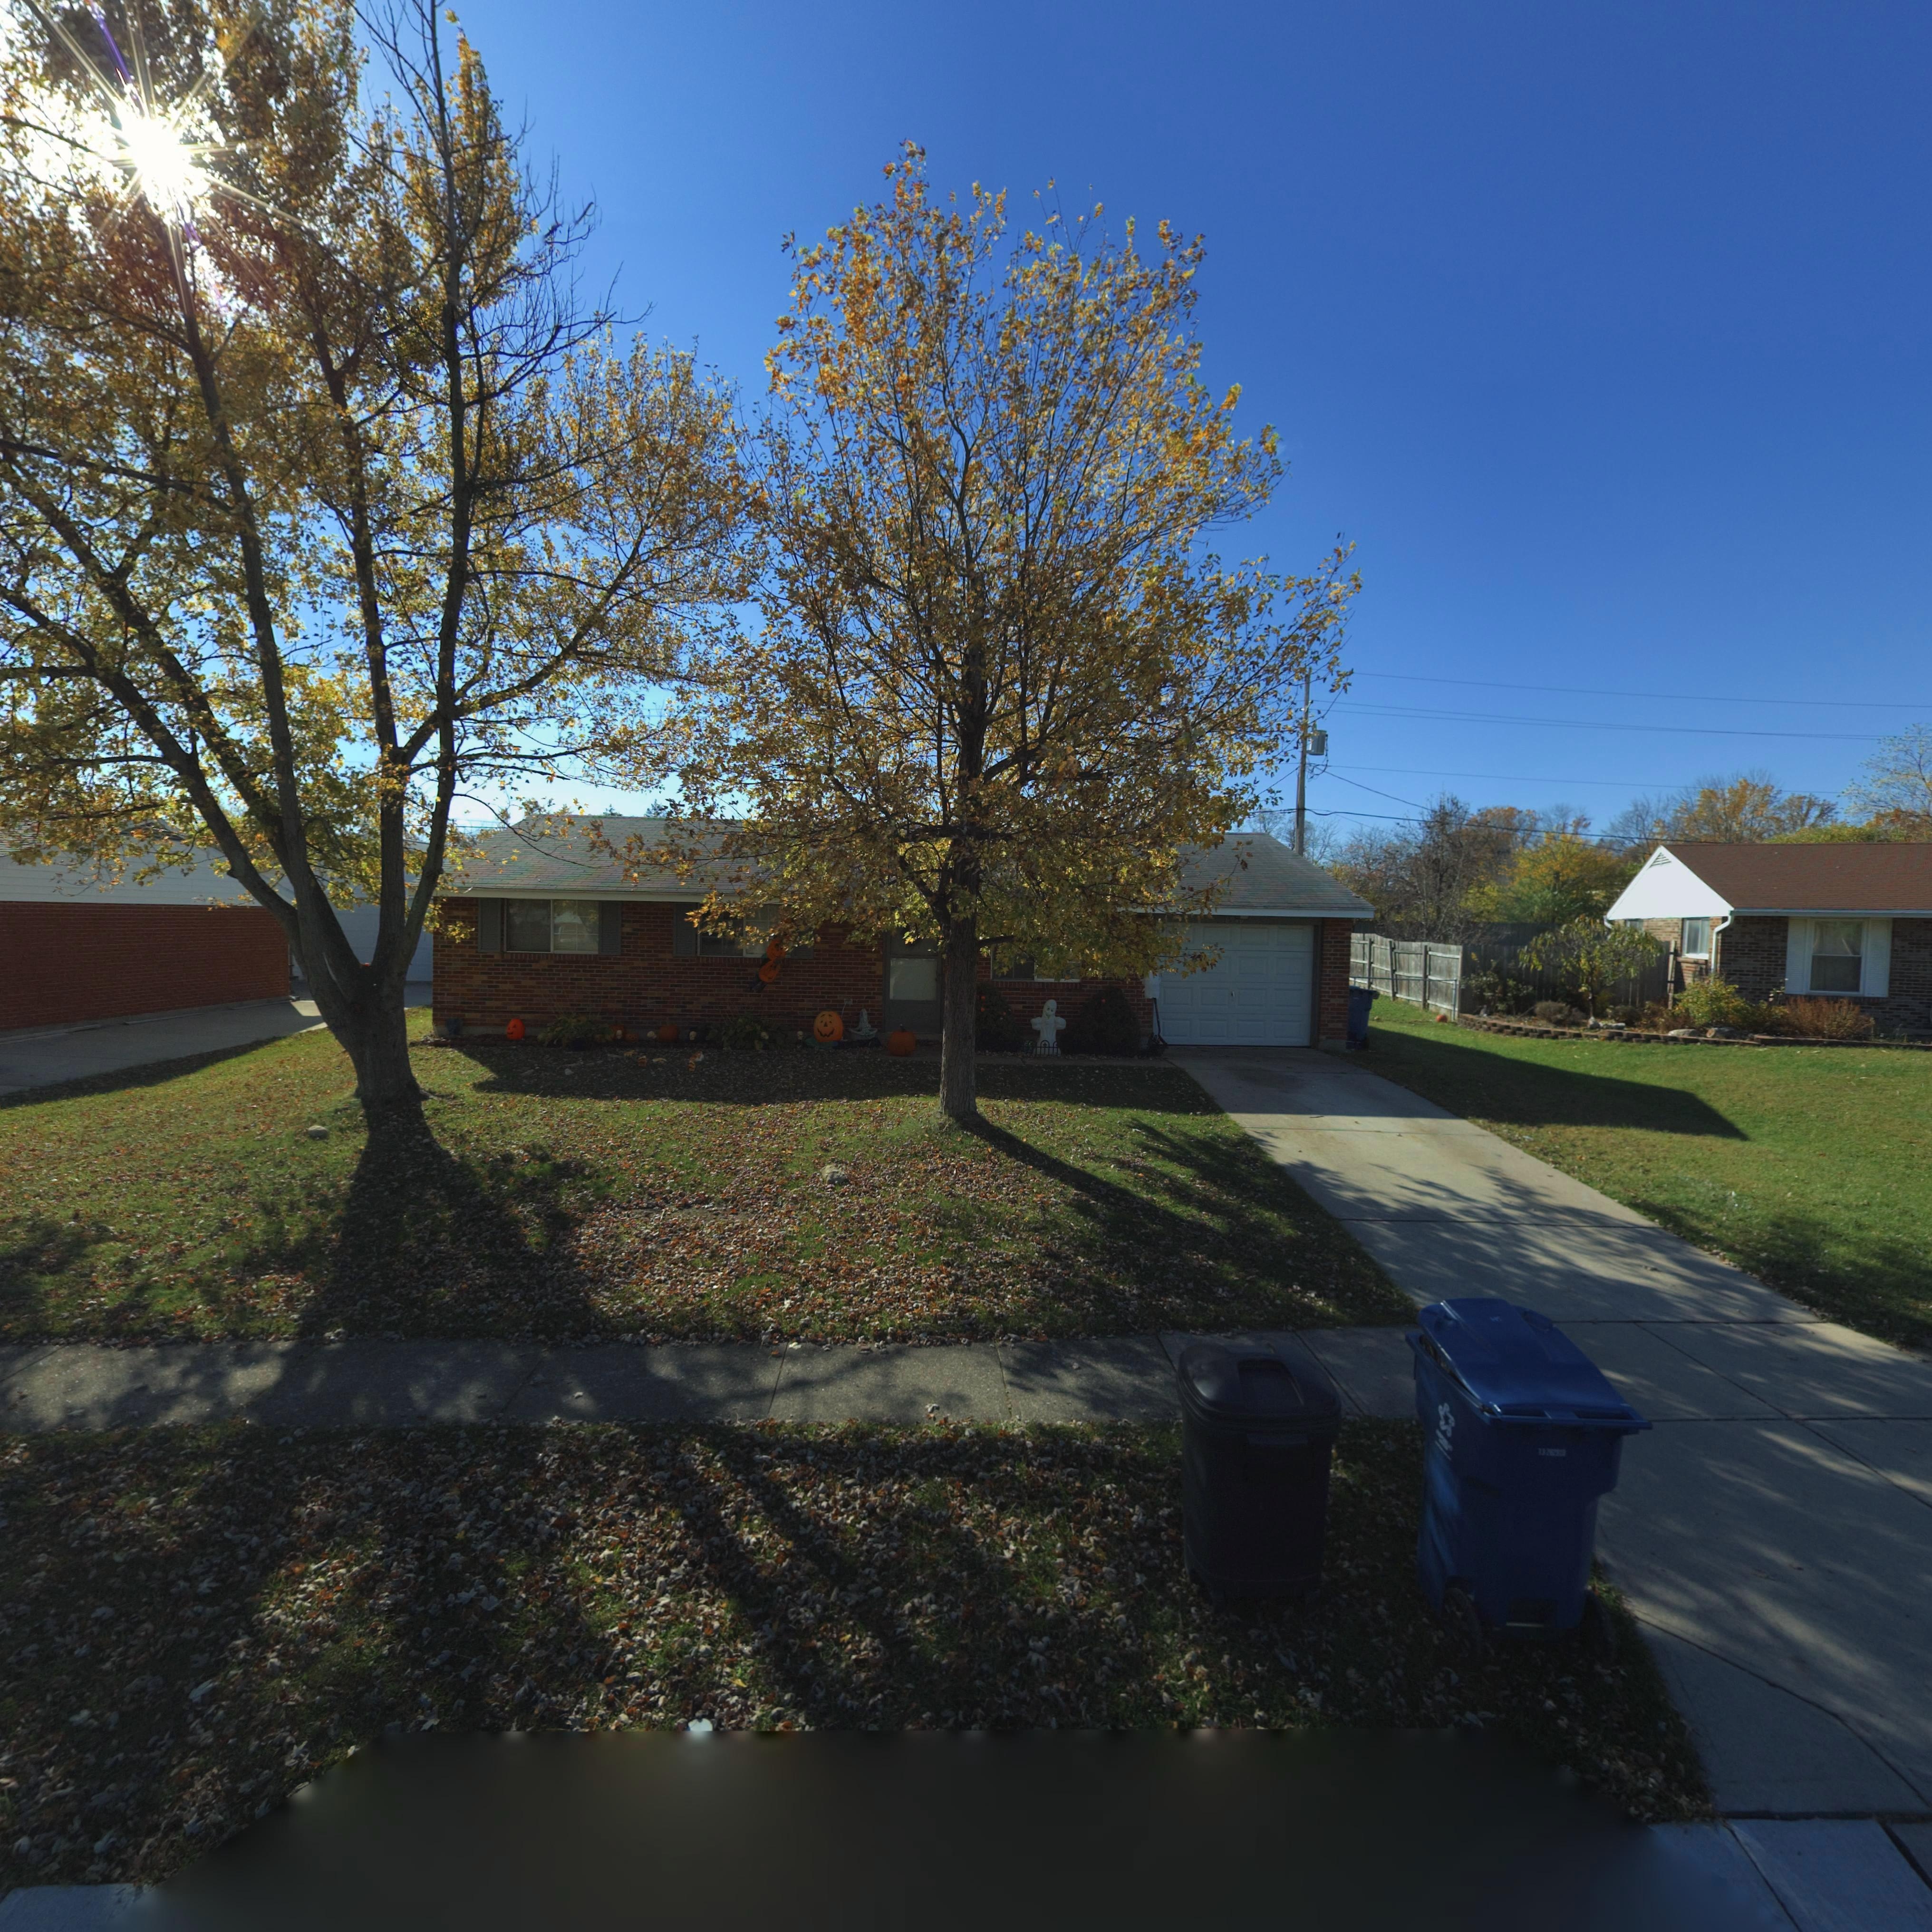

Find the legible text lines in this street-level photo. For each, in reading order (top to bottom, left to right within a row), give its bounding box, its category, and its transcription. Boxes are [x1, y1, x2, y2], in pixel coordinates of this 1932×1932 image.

[1225, 916, 1235, 924] StreetNumber: 69